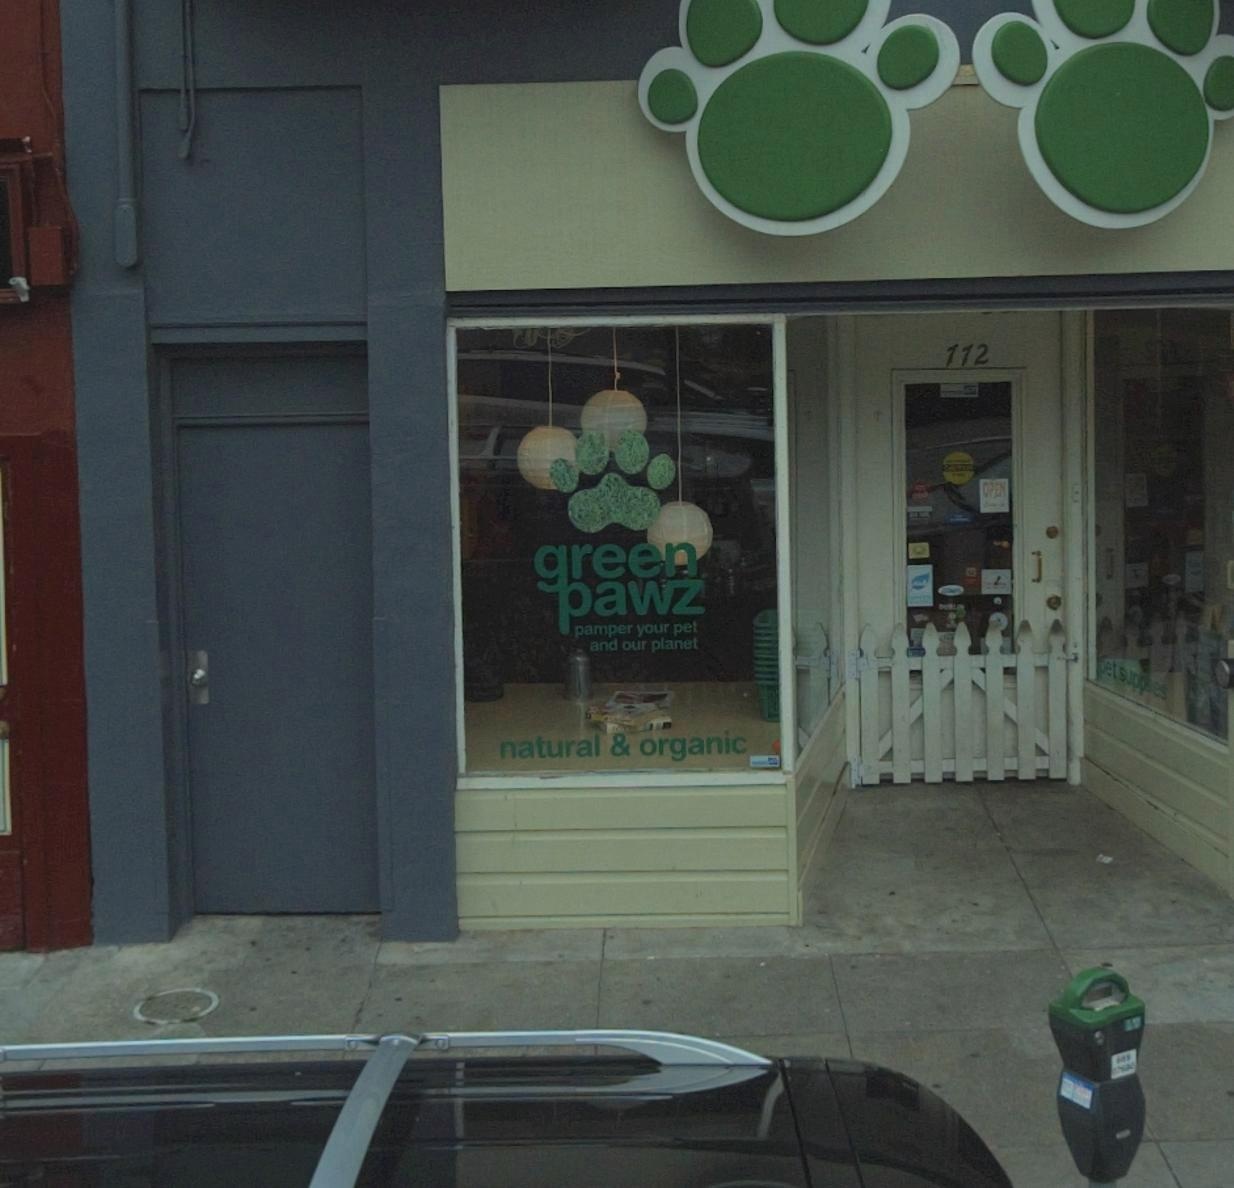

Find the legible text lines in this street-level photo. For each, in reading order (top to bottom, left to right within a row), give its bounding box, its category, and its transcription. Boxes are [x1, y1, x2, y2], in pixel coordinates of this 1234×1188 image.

[941, 341, 992, 369] StreetNumber: 112
[982, 478, 1007, 500] None: OPEN
[533, 539, 699, 595] BusinessName: green
[556, 578, 707, 637] BusinessName: pawz
[572, 620, 702, 640] None: pamper your pet
[588, 636, 700, 654] None: and our planet
[1096, 658, 1170, 708] None: pet supplies
[497, 729, 749, 763] None: natural & organic